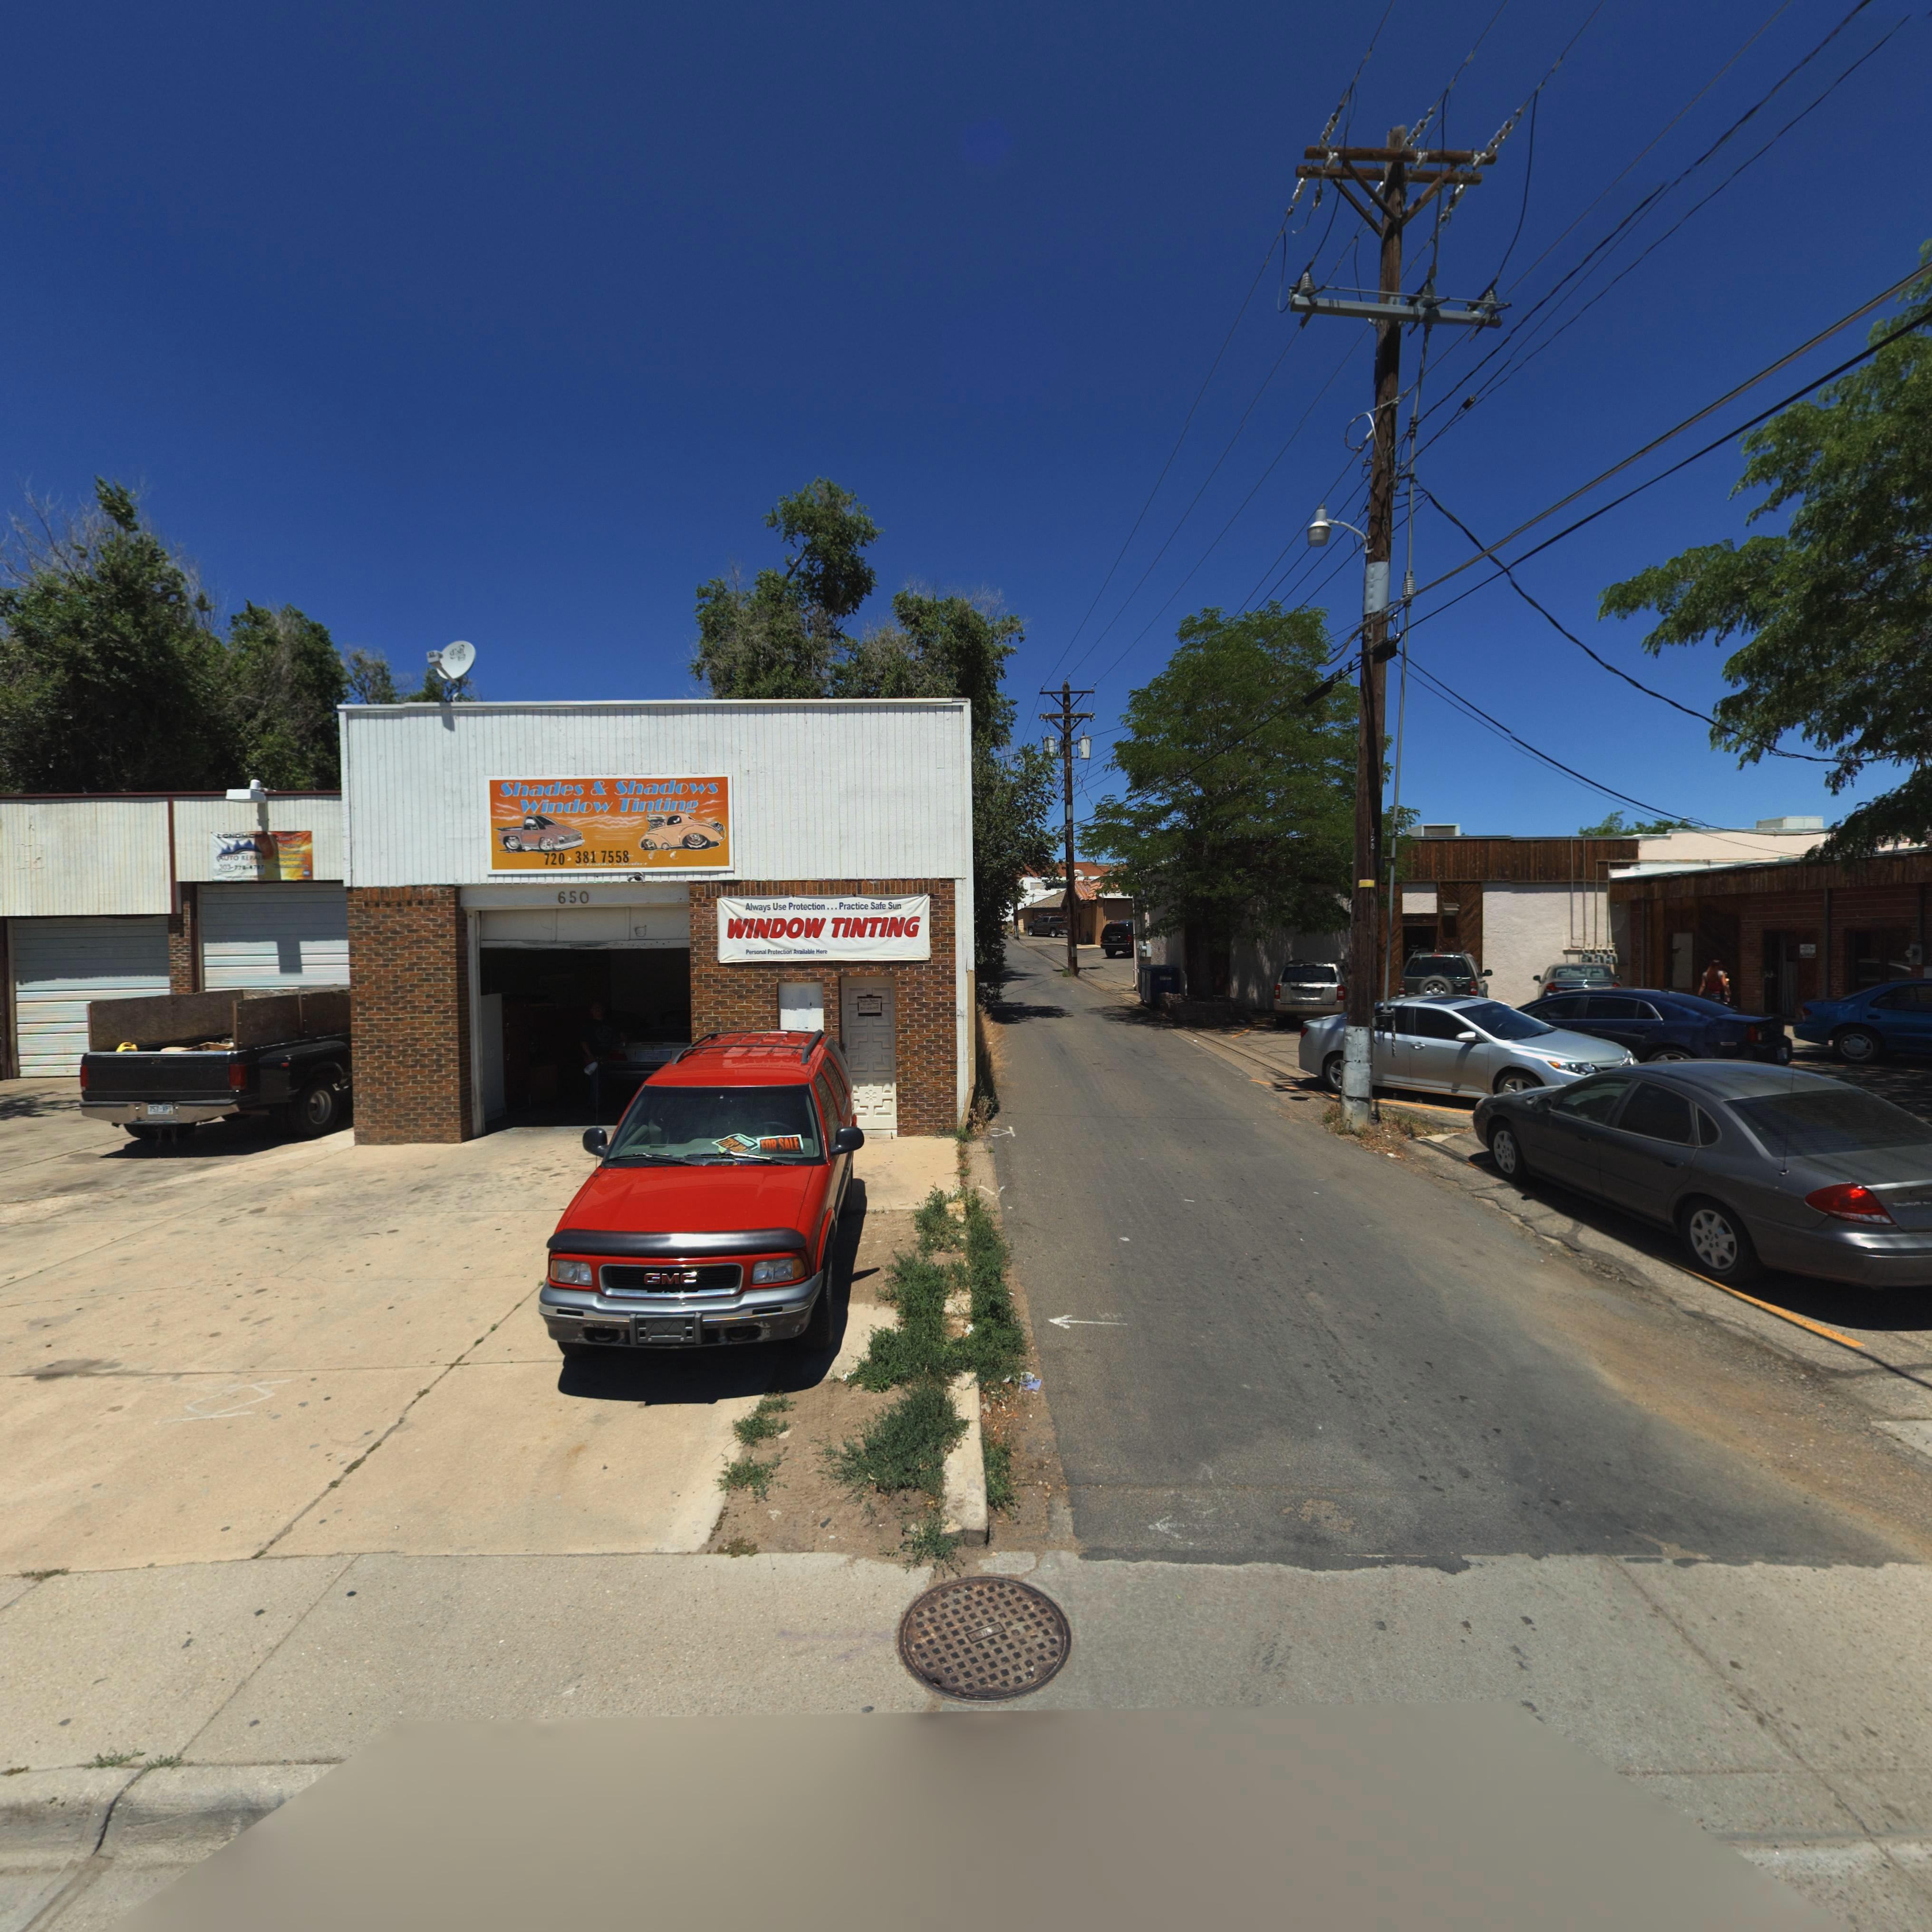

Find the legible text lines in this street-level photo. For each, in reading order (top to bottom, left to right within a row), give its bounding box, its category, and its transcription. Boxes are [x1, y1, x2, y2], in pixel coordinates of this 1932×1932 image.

[498, 779, 719, 798] BusinessName: Shades & Shadows
[217, 832, 267, 839] BusinessName: LONGMON*
[218, 854, 266, 860] BusinessName: AUTO REPAIR
[558, 890, 589, 904] StreetNumber: 650